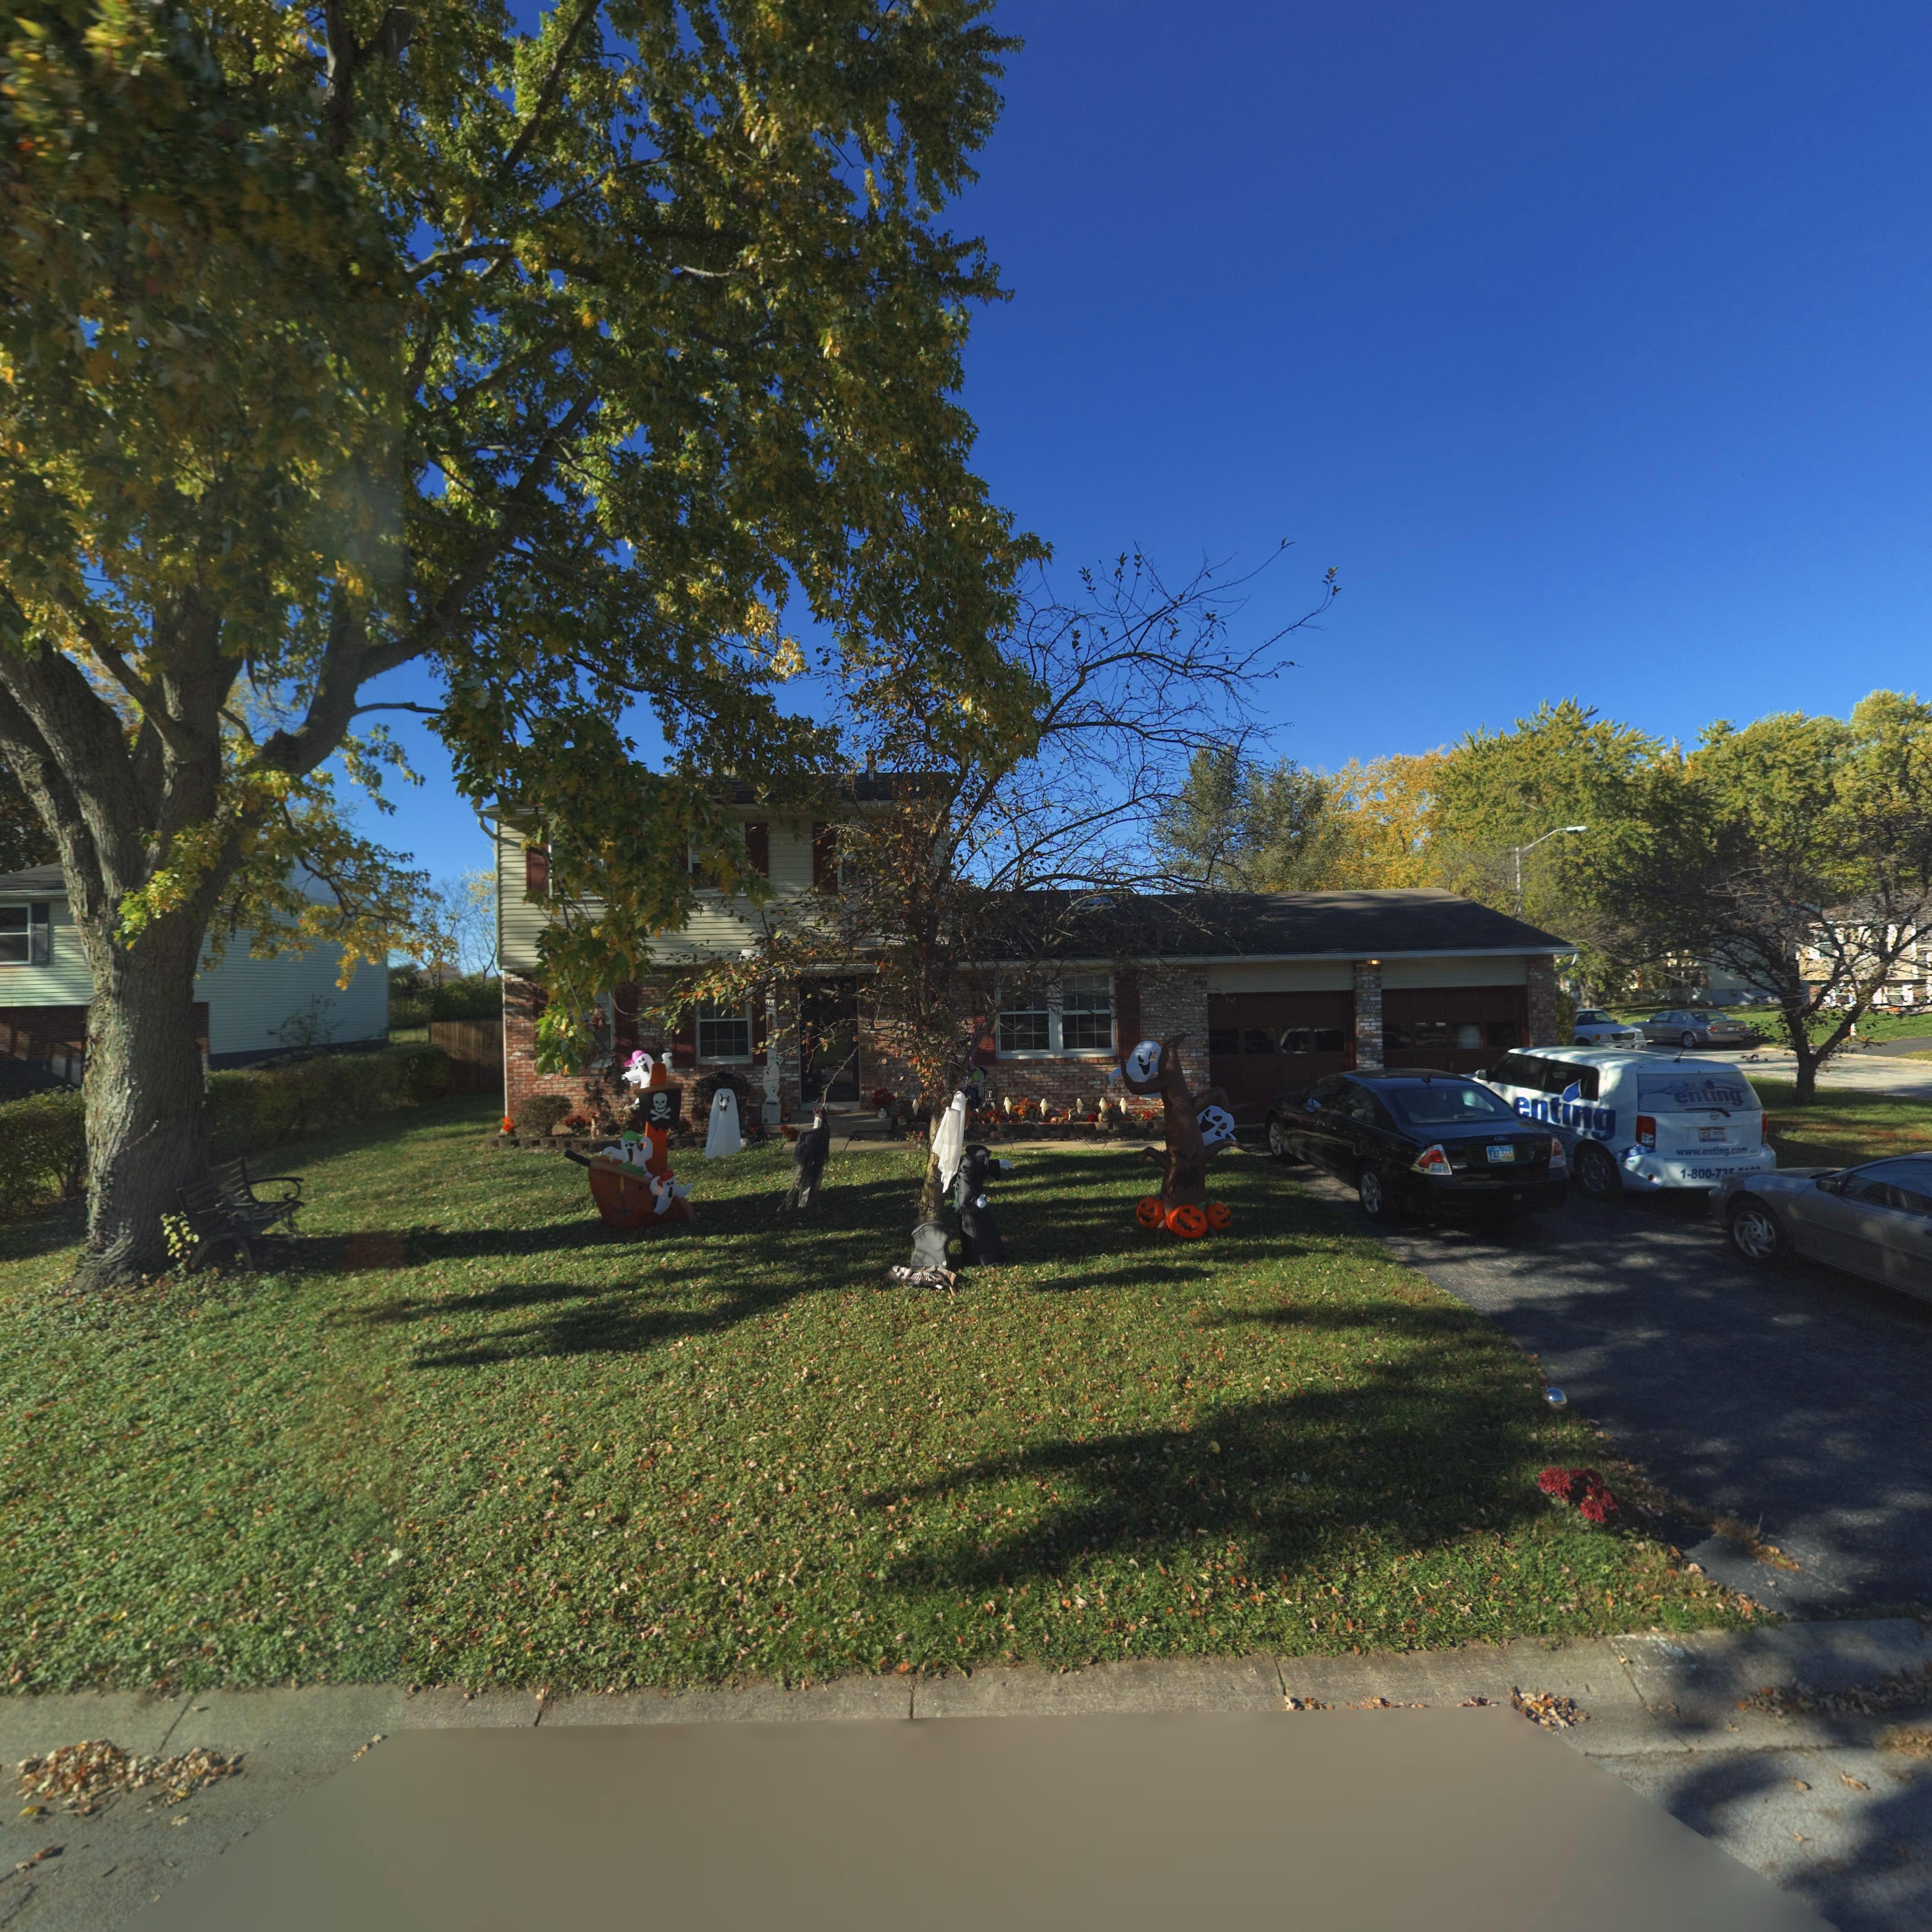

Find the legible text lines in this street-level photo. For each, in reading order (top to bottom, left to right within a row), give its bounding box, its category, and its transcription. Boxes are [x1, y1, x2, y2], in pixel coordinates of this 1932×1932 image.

[765, 1001, 776, 1009] StreetNumber: *01
[1673, 1088, 1744, 1108] None: enting
[1514, 1095, 1618, 1146] None: enting
[1673, 1147, 1749, 1158] None: ***.******.***